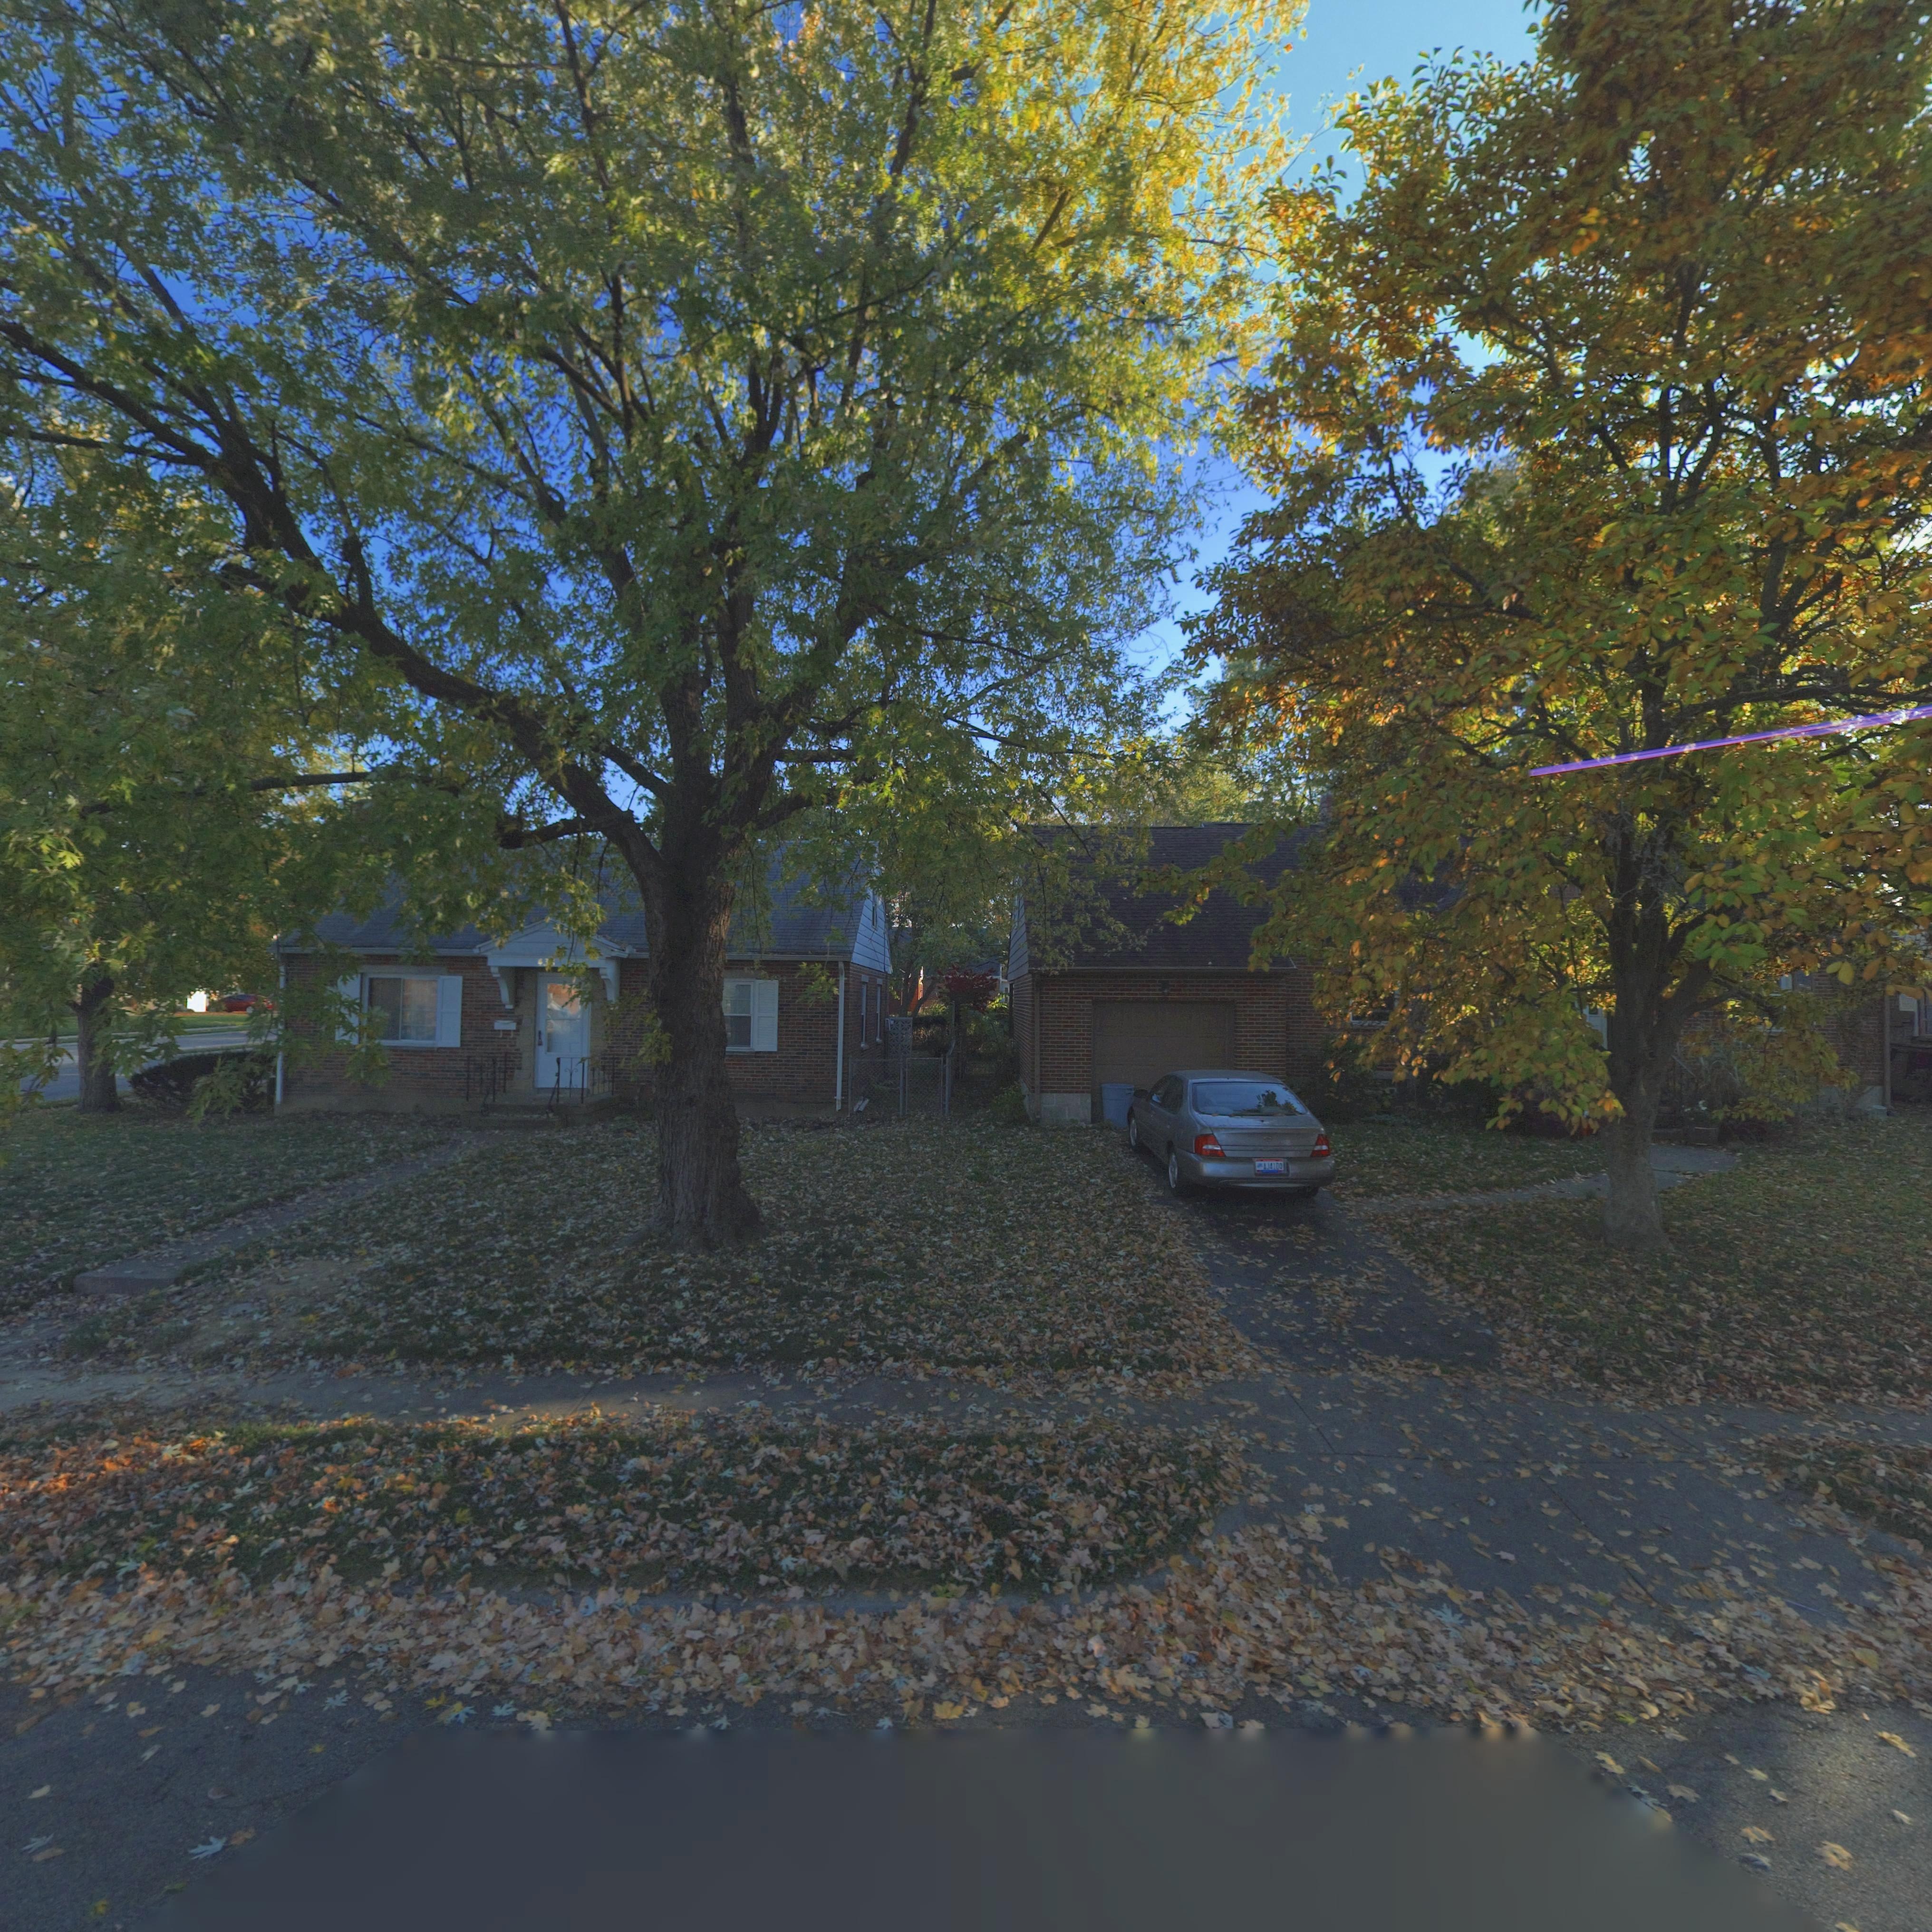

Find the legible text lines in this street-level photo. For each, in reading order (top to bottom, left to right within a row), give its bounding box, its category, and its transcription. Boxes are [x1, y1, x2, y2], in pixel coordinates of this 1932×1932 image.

[537, 957, 543, 967] StreetNumber: 4